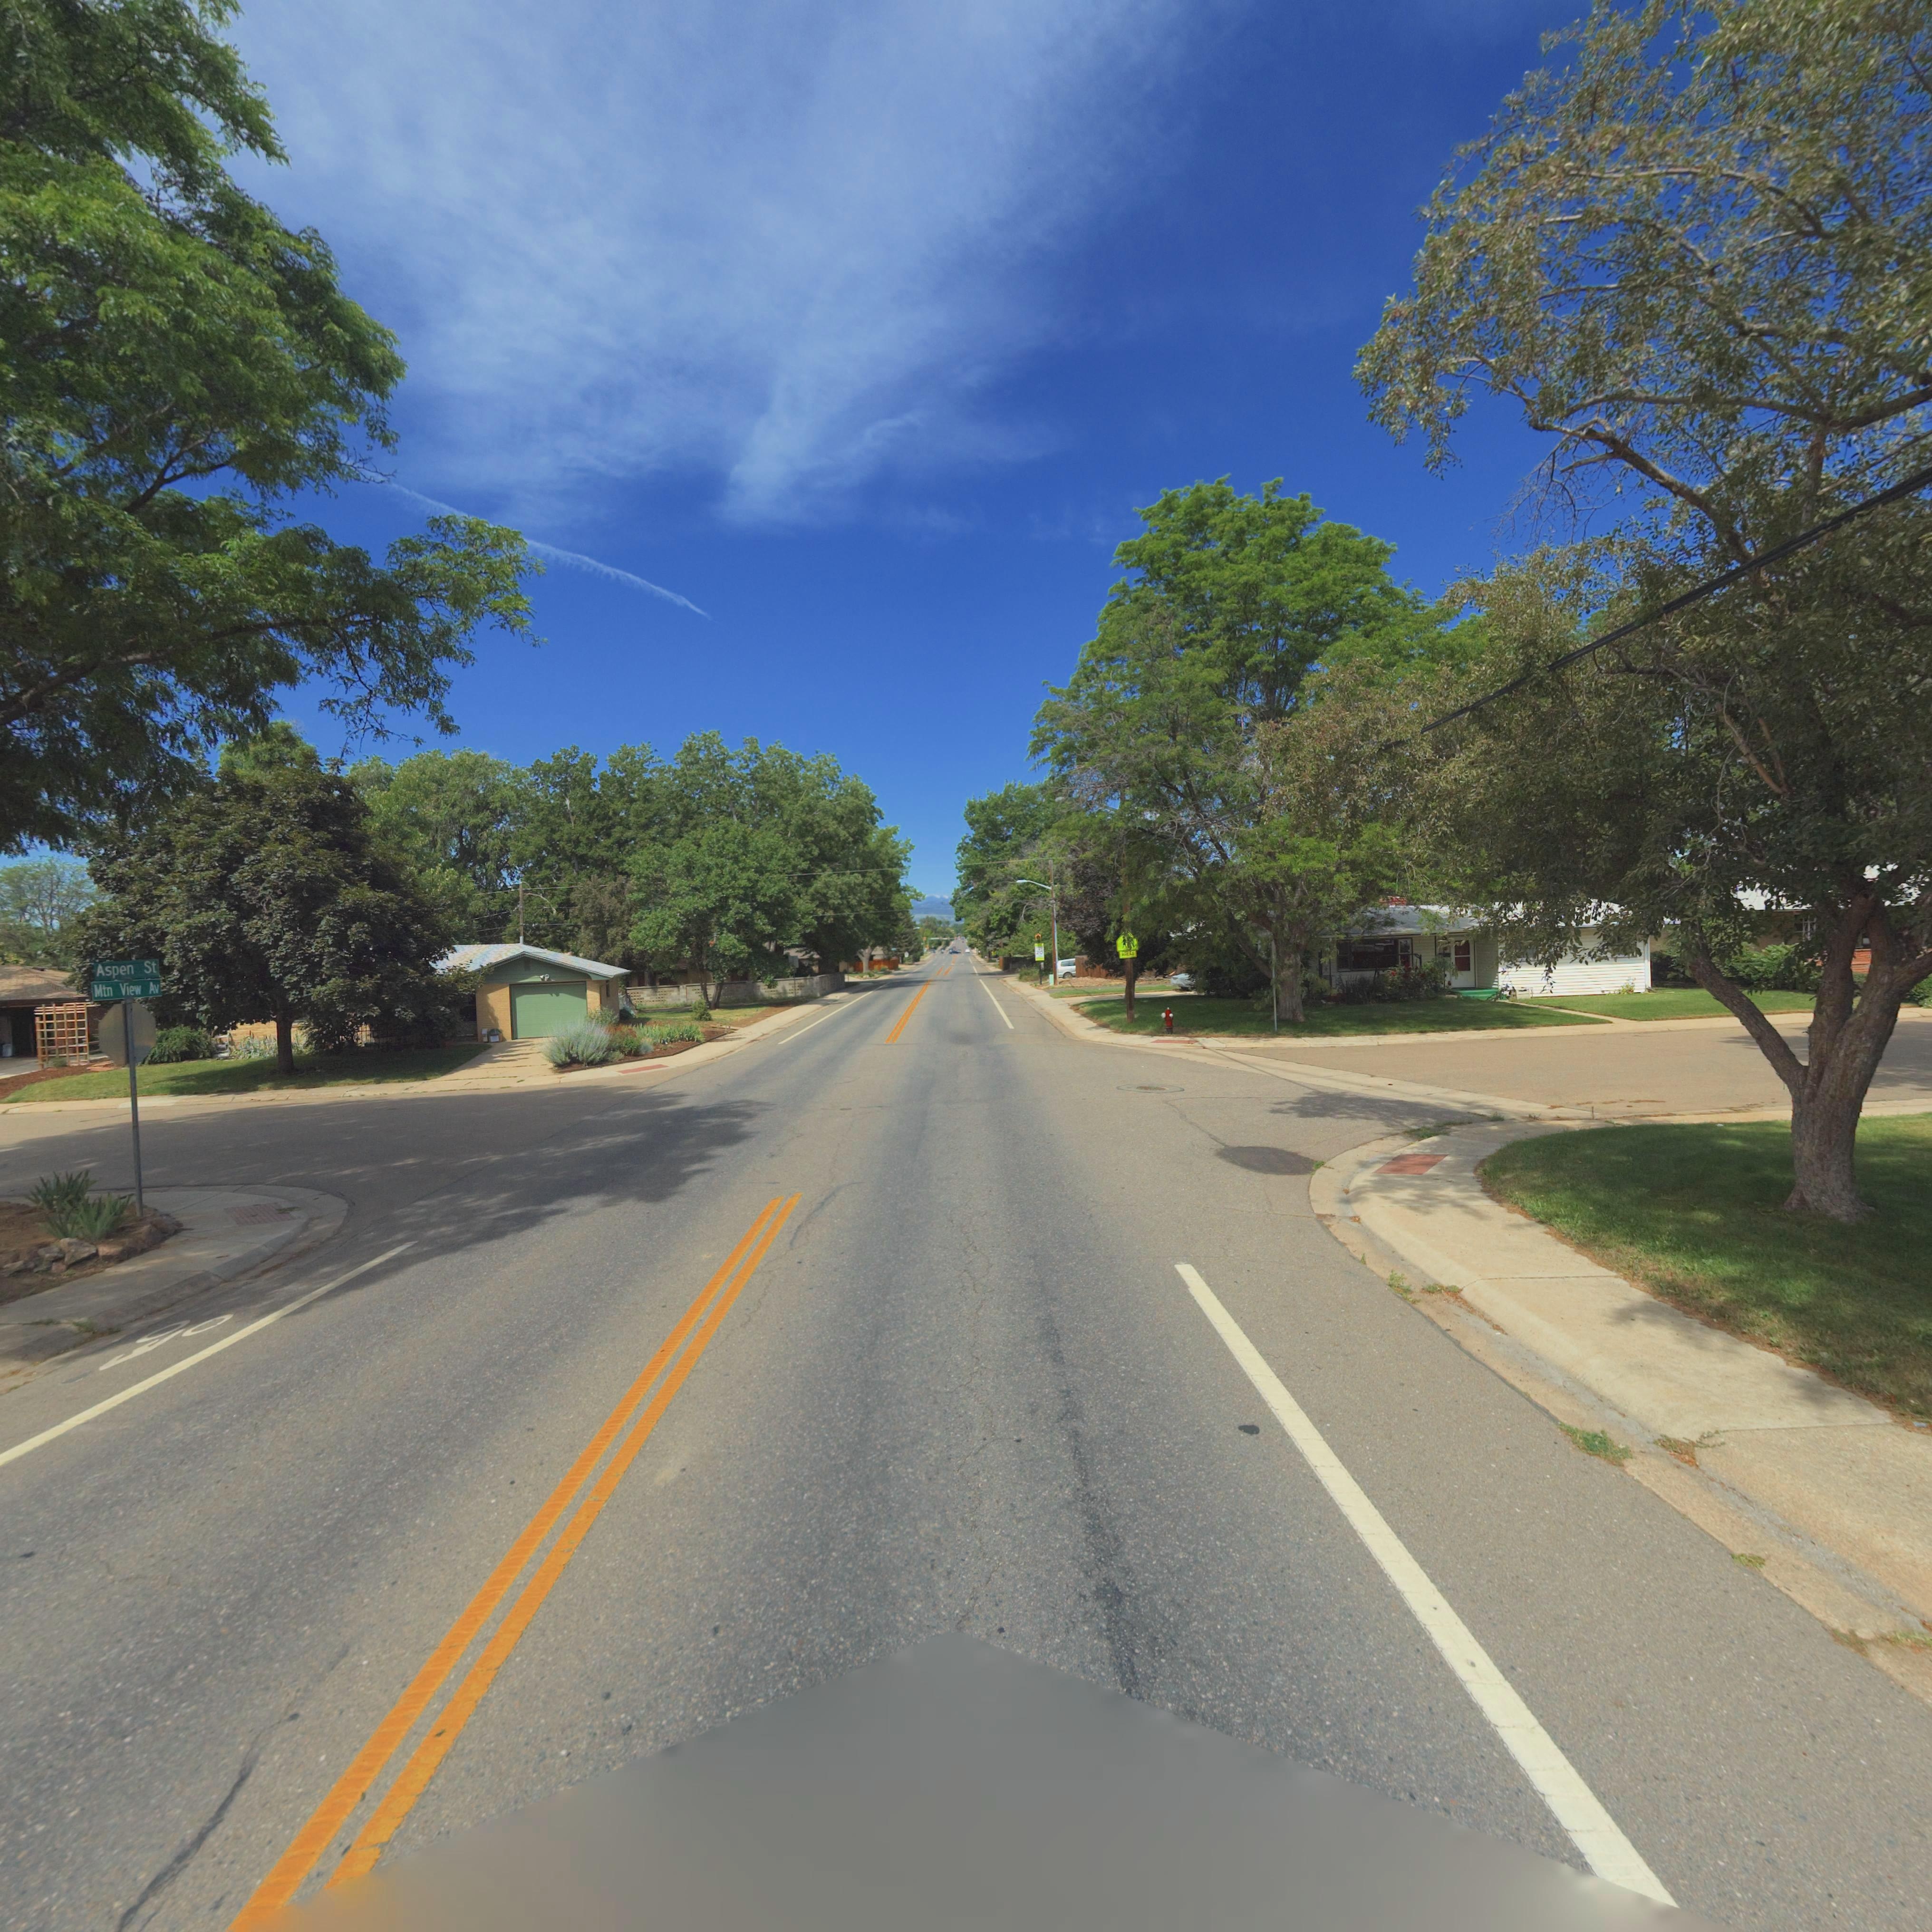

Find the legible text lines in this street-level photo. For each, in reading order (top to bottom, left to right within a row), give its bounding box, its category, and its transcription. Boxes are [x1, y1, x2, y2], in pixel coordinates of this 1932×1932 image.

[96, 960, 157, 979] StreetName: Aspen St
[93, 981, 159, 998] StreetName: Mtn View Av